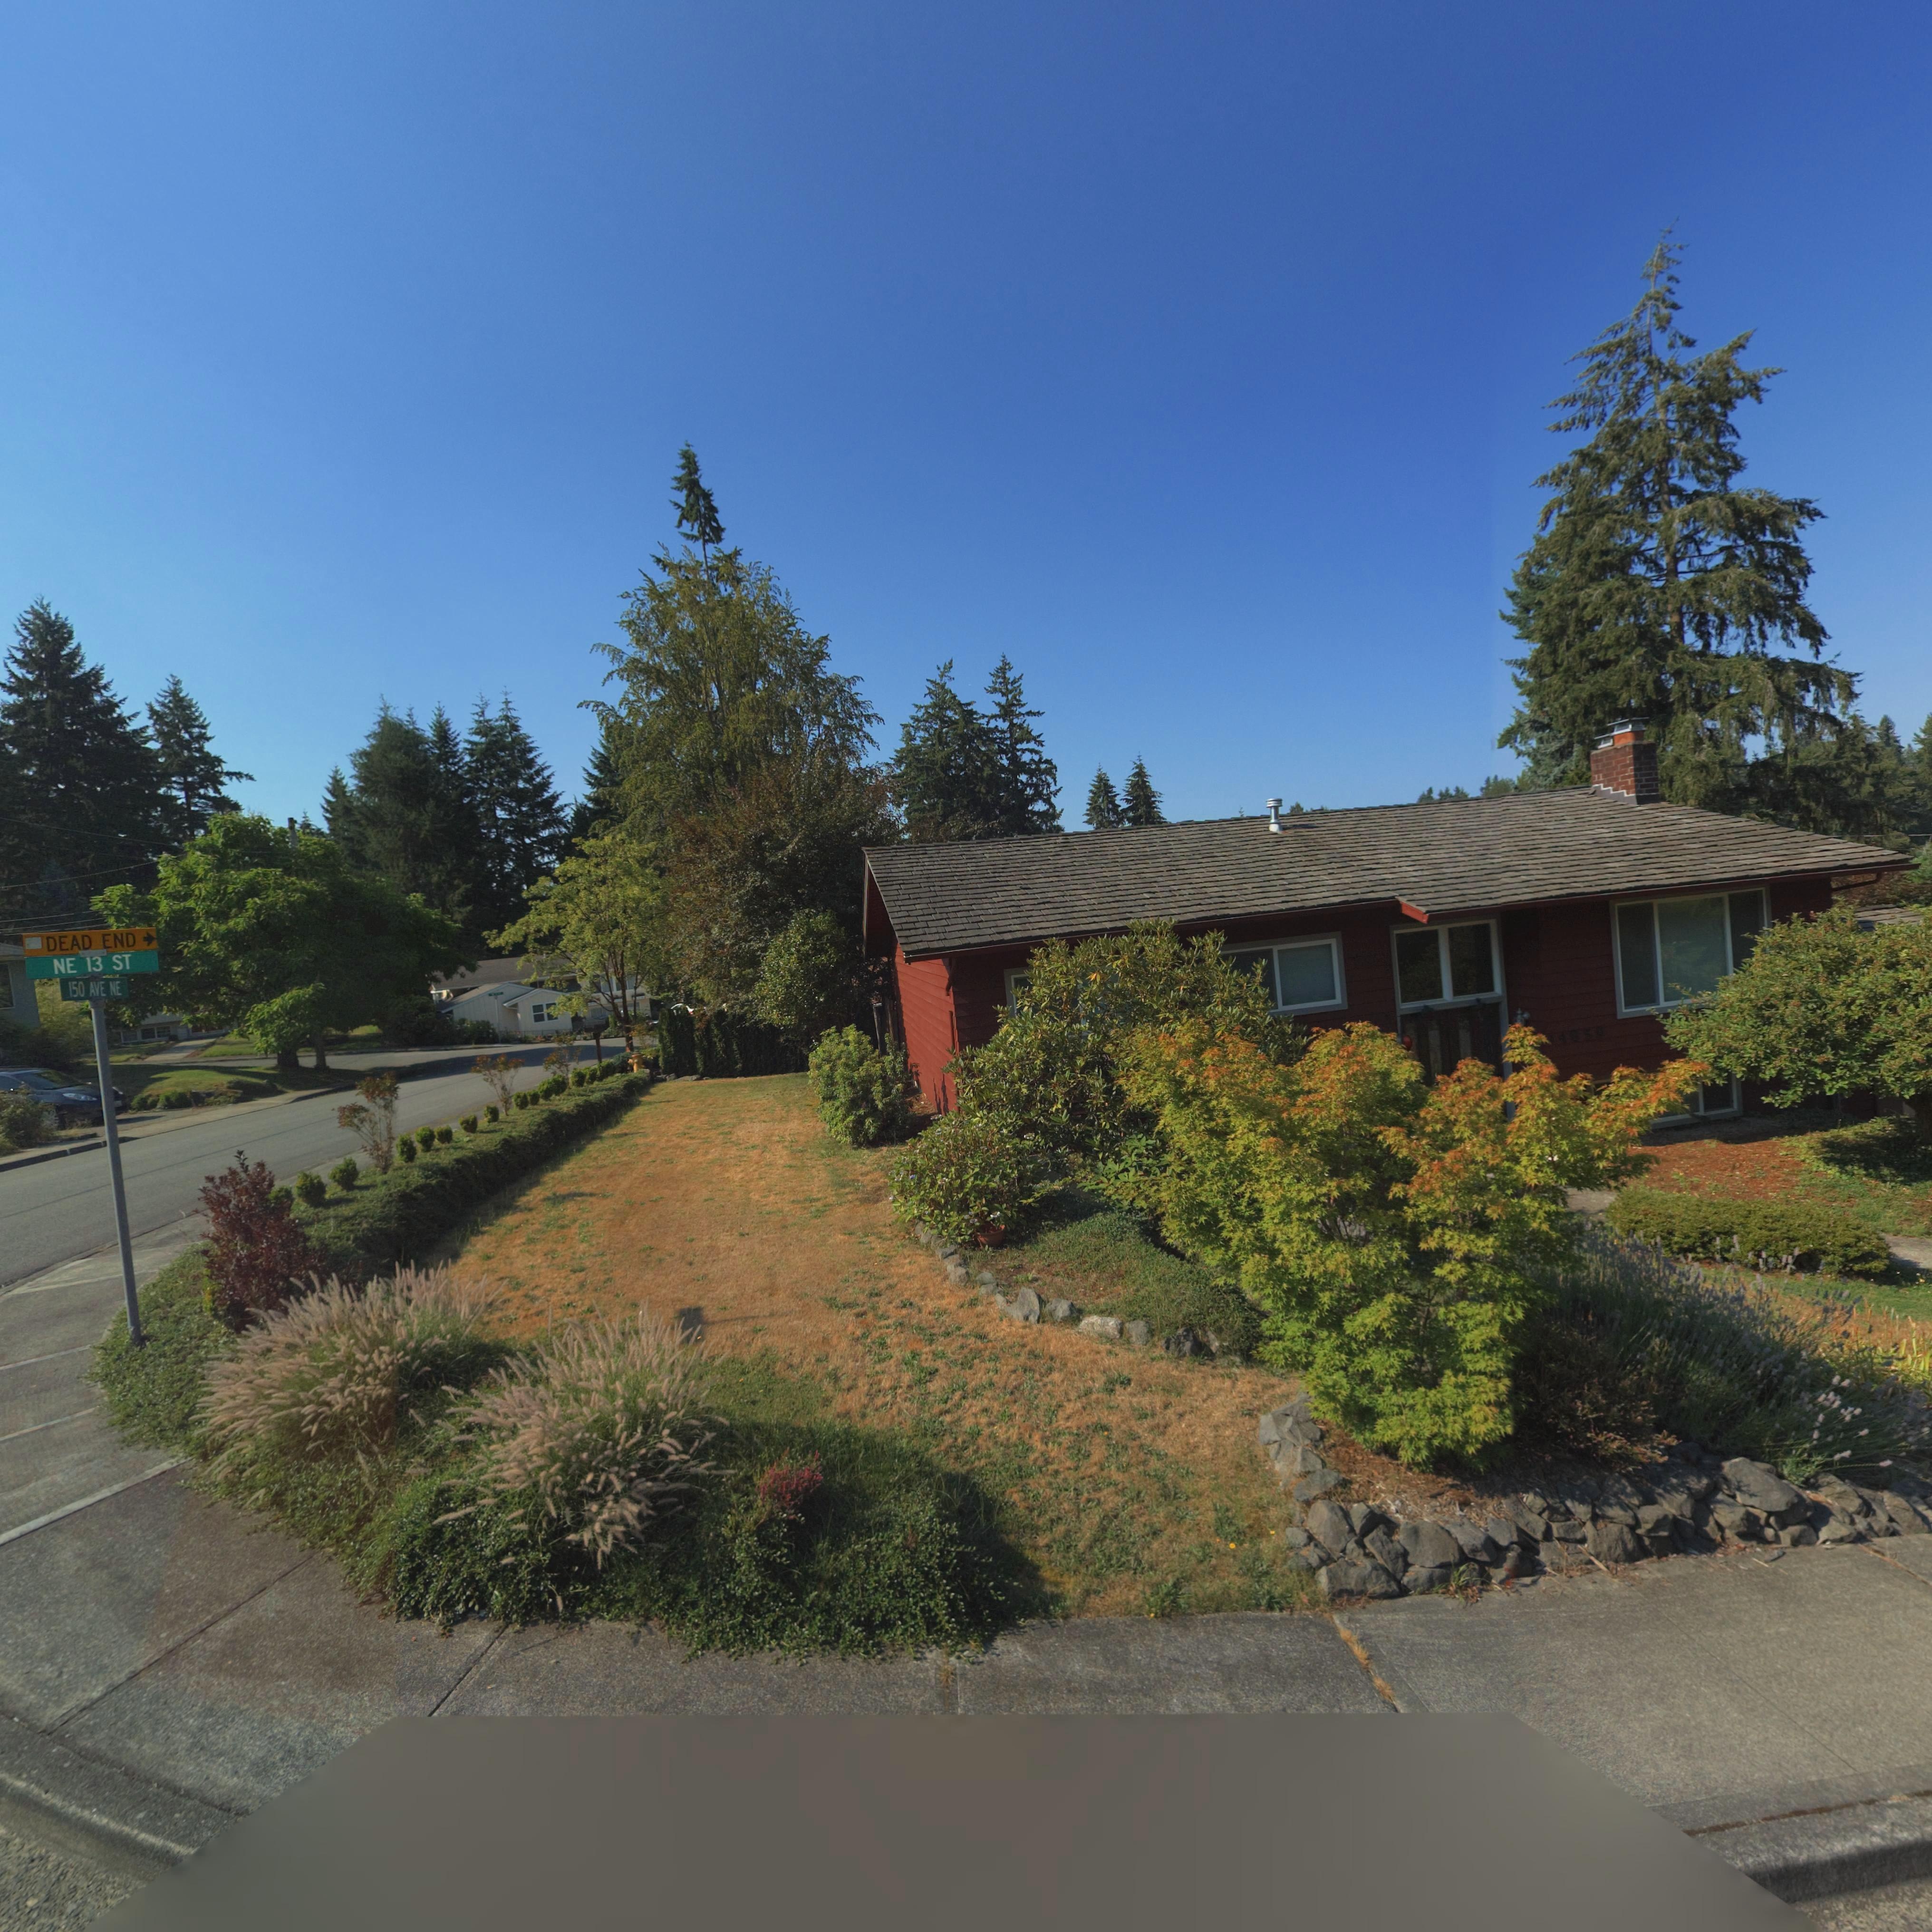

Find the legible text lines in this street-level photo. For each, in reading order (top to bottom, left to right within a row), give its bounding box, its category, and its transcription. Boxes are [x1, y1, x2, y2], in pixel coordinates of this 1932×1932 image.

[43, 930, 137, 954] None: DEAD END
[53, 955, 131, 975] StreetName: NE 13 ST
[66, 979, 124, 1000] None: 150 AVE NE